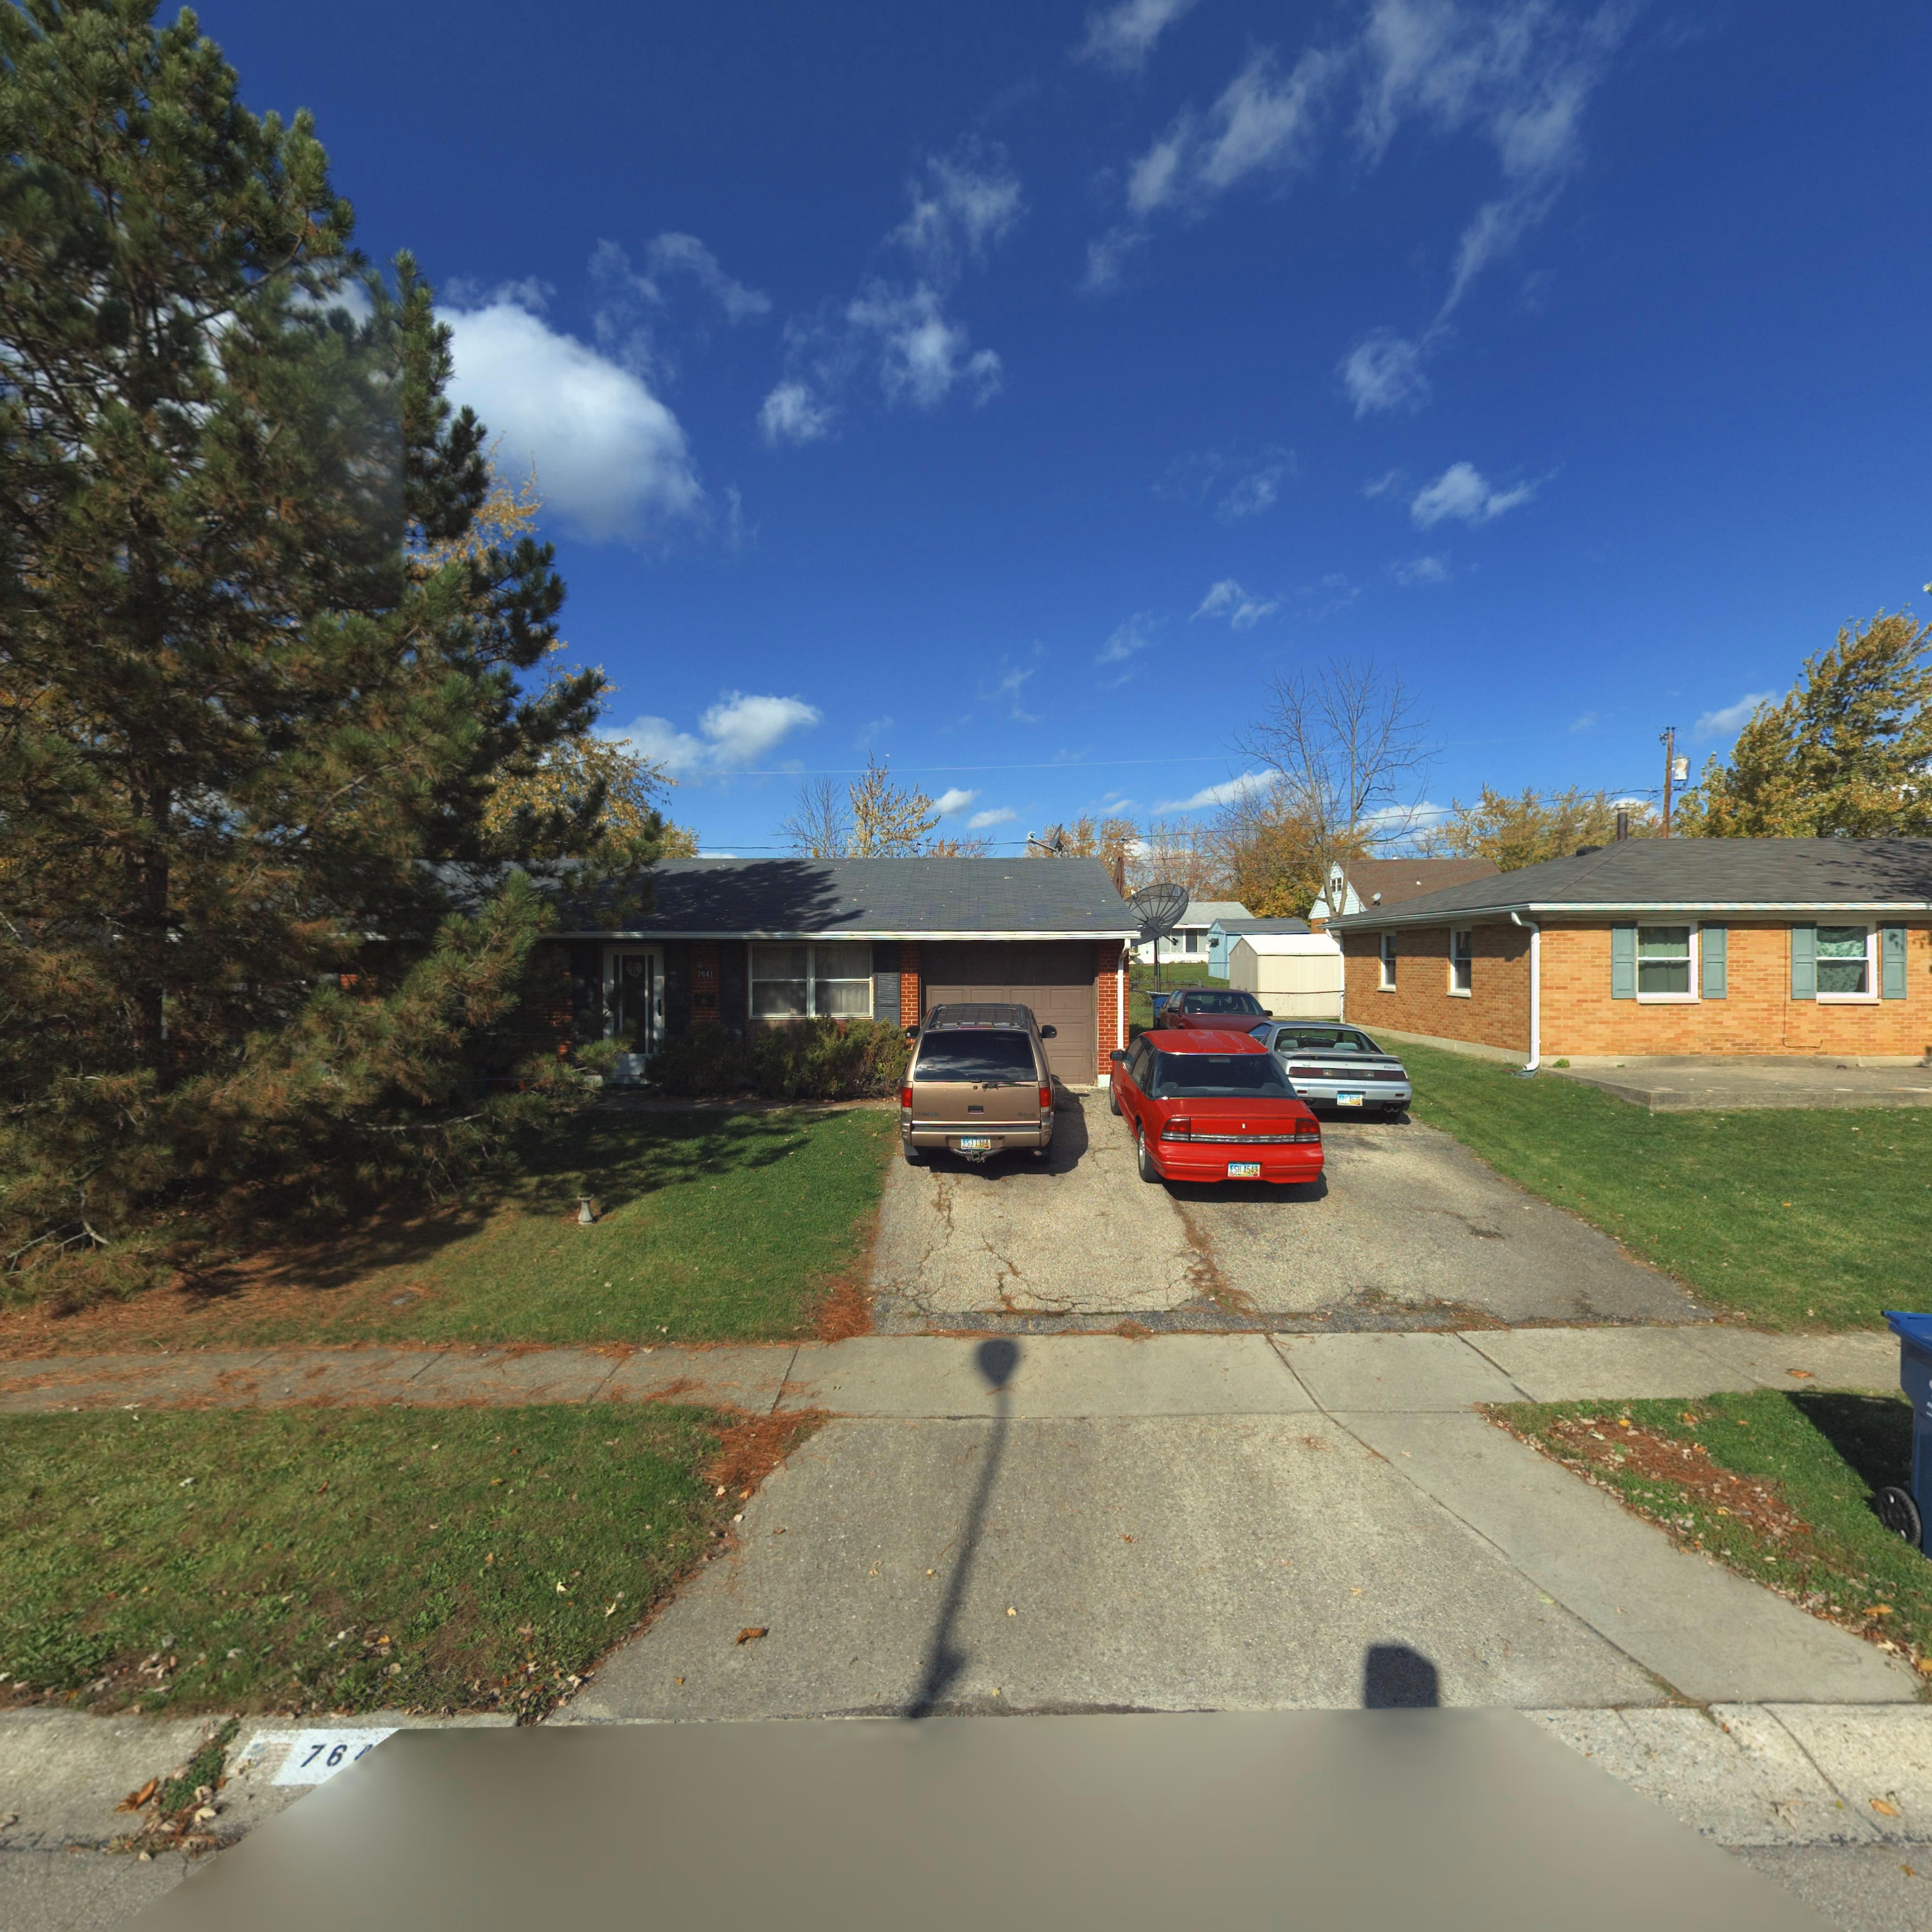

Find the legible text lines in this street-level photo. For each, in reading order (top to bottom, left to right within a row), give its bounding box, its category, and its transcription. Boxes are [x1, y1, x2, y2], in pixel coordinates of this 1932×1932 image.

[697, 970, 714, 978] StreetNumber: 7641
[298, 1743, 349, 1768] StreetNumber: 76